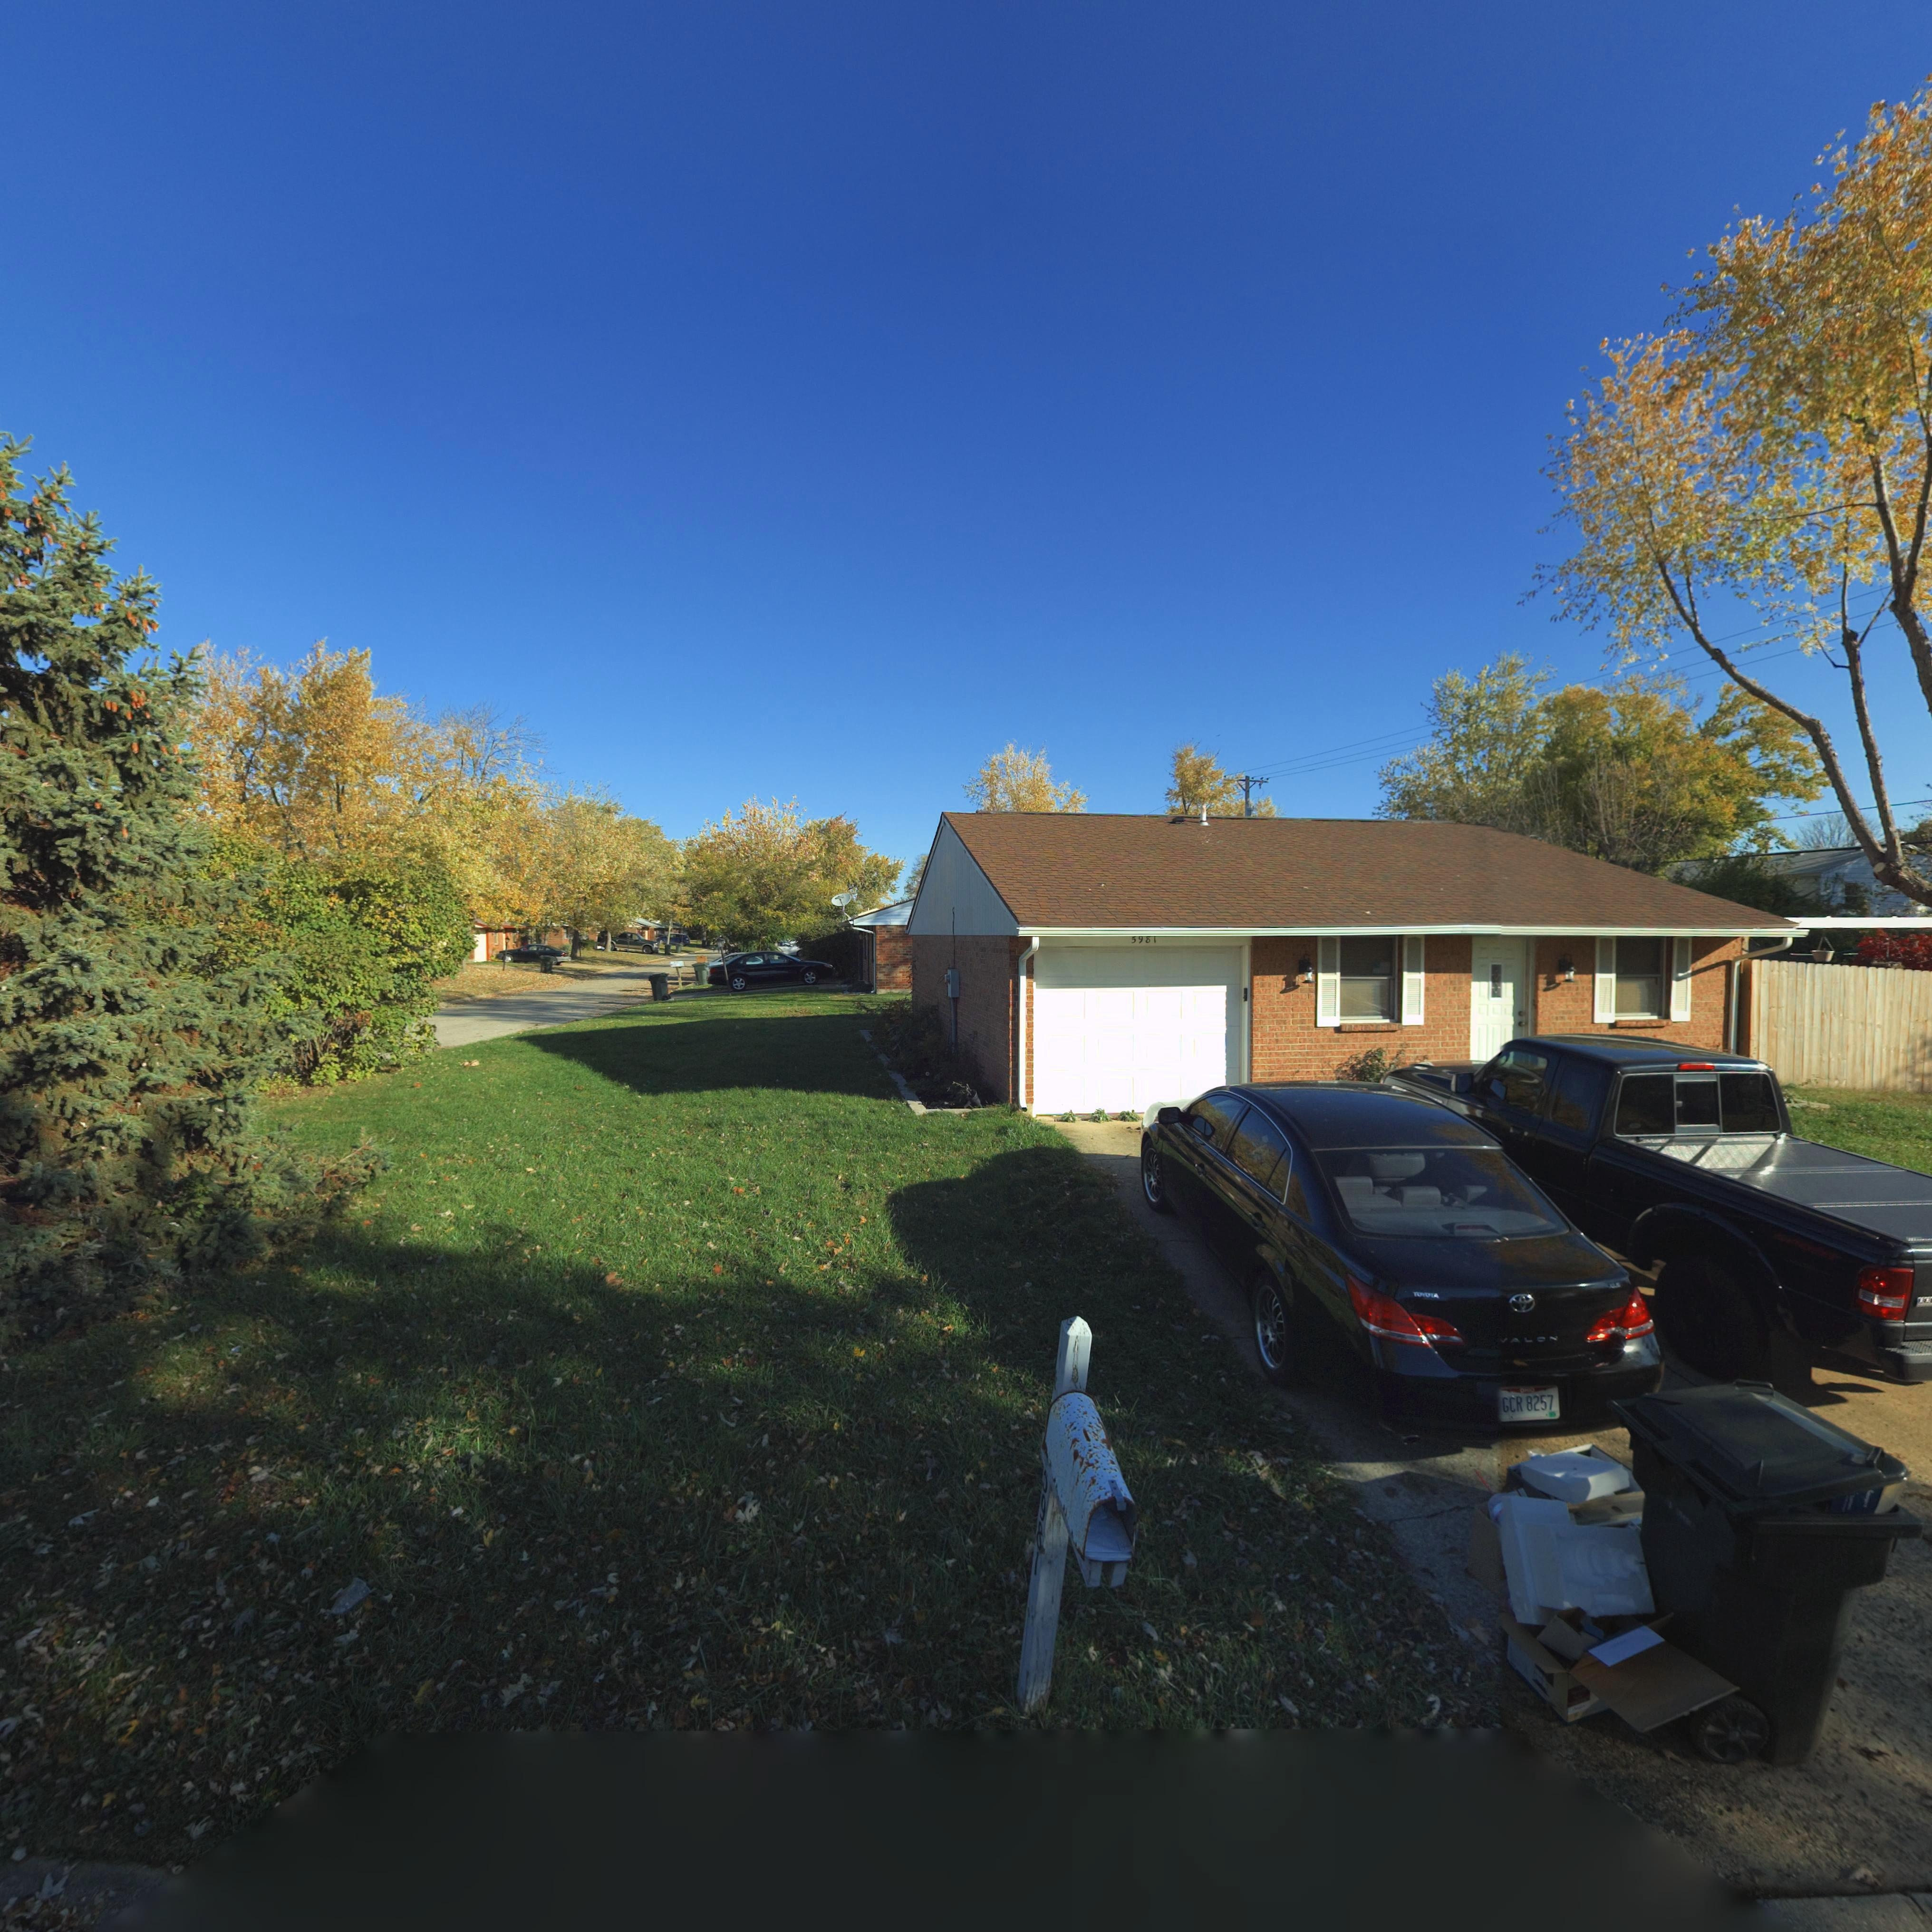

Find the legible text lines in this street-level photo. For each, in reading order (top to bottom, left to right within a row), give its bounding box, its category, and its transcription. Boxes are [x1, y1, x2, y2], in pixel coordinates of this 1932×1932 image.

[1130, 935, 1158, 945] StreetNumber: 5981
[1033, 1492, 1048, 1578] StreetNumber: 981